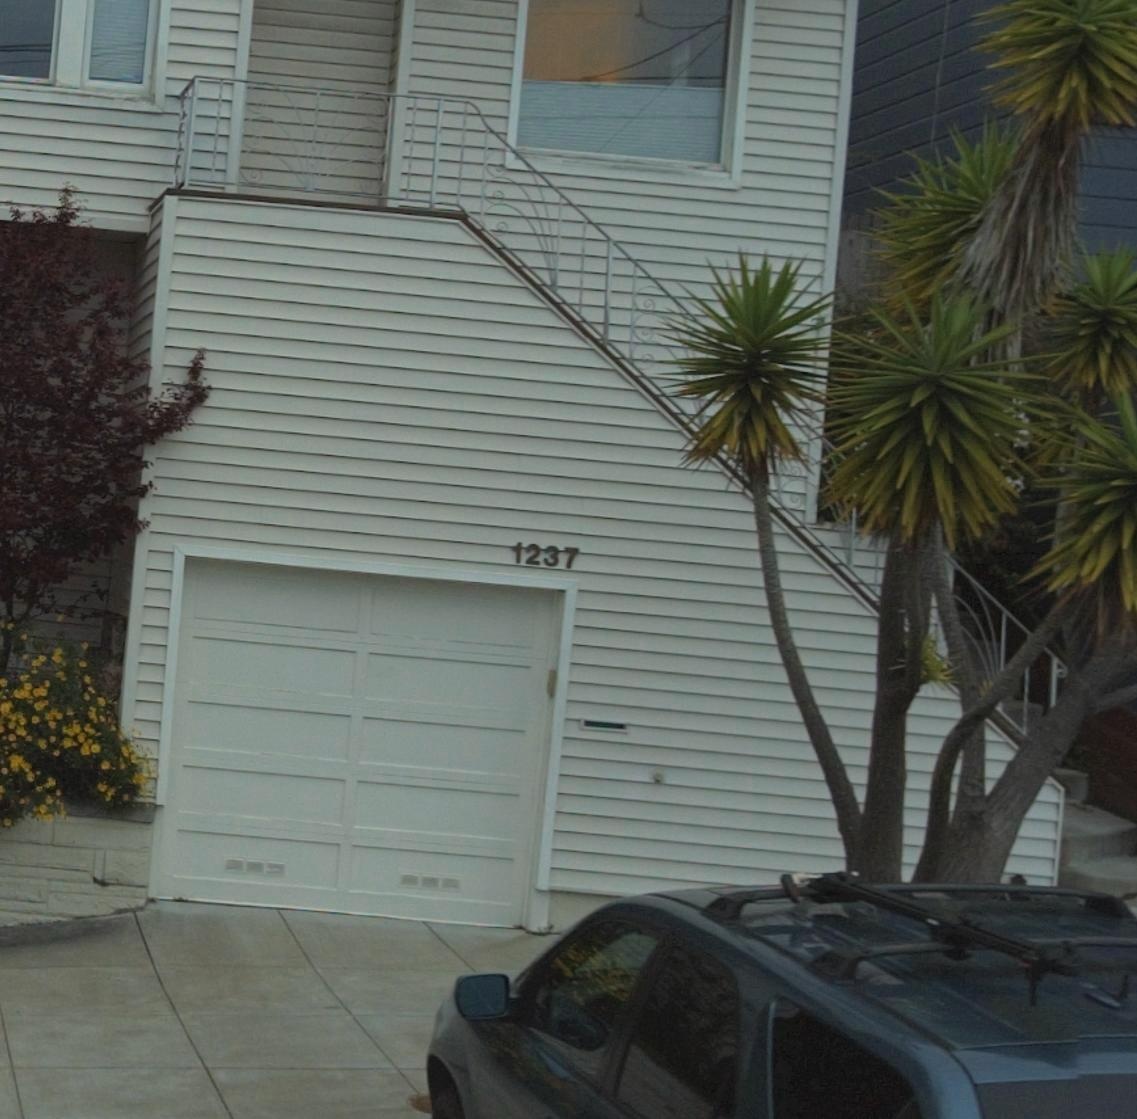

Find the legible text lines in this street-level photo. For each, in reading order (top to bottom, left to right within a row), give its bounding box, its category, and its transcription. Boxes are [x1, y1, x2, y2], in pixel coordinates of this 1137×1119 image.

[509, 540, 581, 570] StreetNumber: 1237